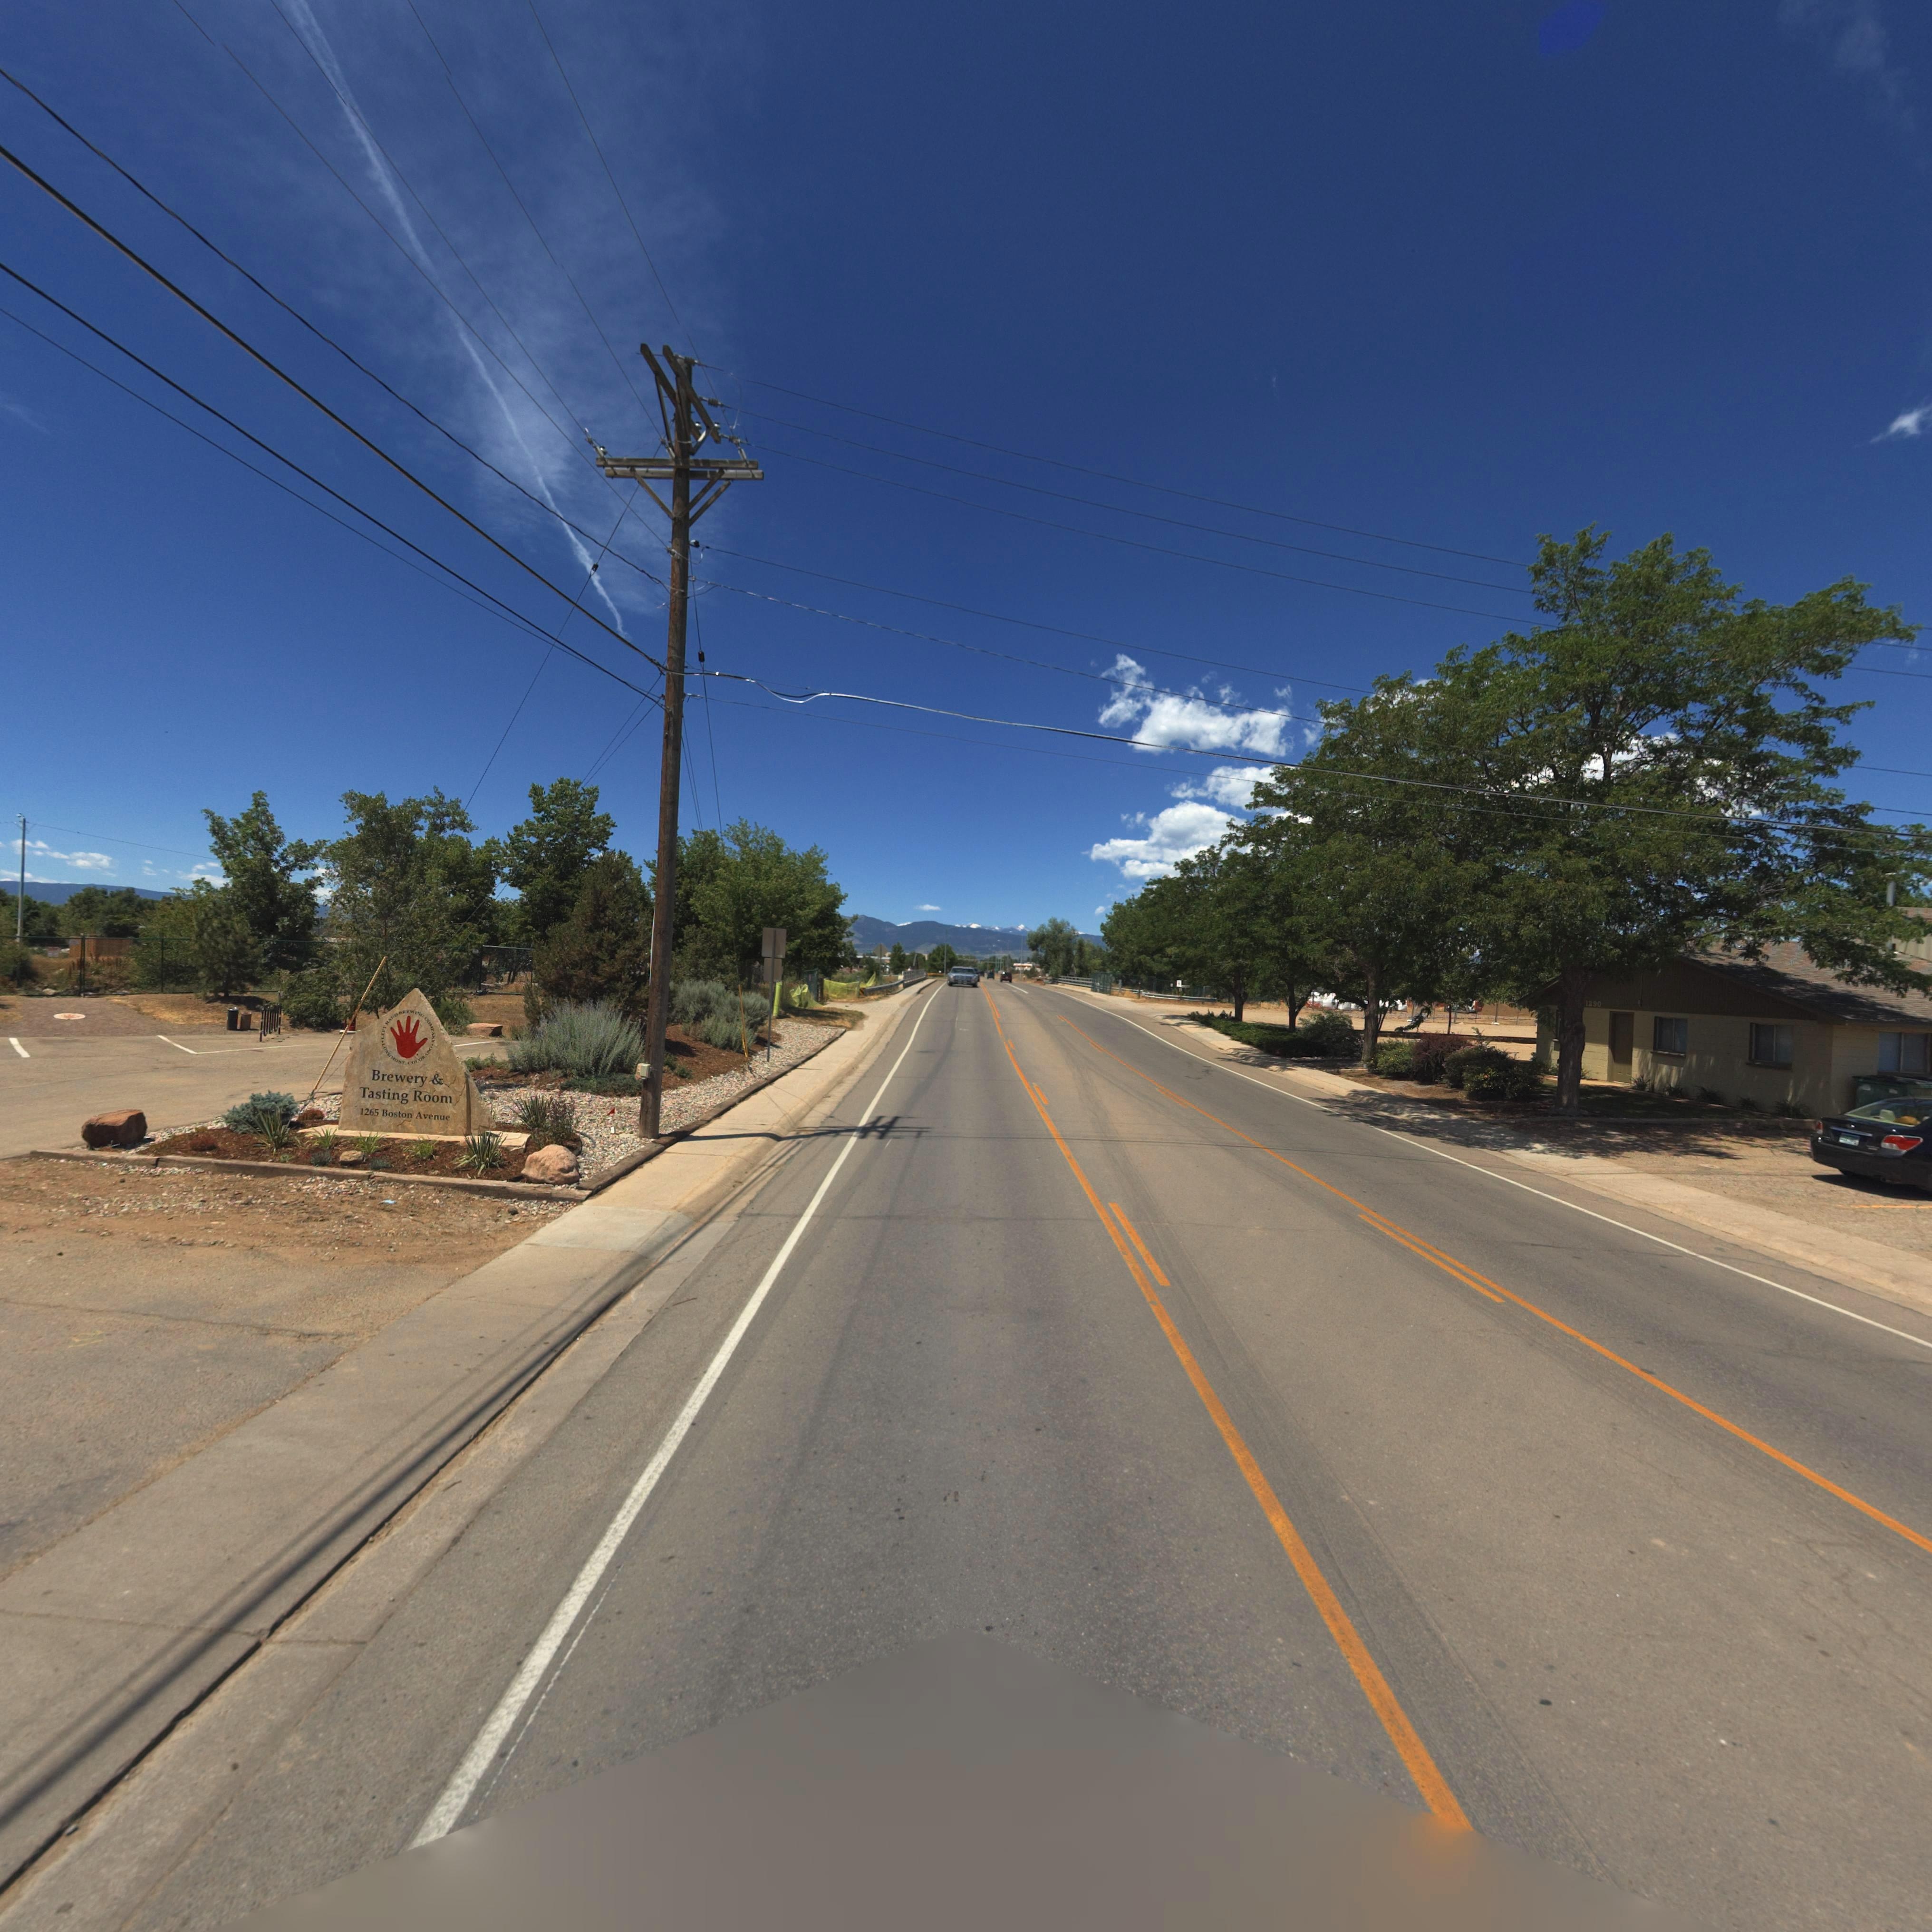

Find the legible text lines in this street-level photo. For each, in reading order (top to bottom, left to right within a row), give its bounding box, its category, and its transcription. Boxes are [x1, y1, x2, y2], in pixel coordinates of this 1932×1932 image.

[1585, 1000, 1601, 1007] StreetNumber: 1290
[379, 1009, 436, 1043] BusinessName: LEFT HAND BREWING COMPANY
[370, 1069, 444, 1088] BusinessName: Brewery &
[358, 1086, 453, 1105] BusinessName: Tasting Room
[359, 1107, 379, 1117] StreetNumber: 1265
[381, 1108, 450, 1121] StreetName: Boston Avenue